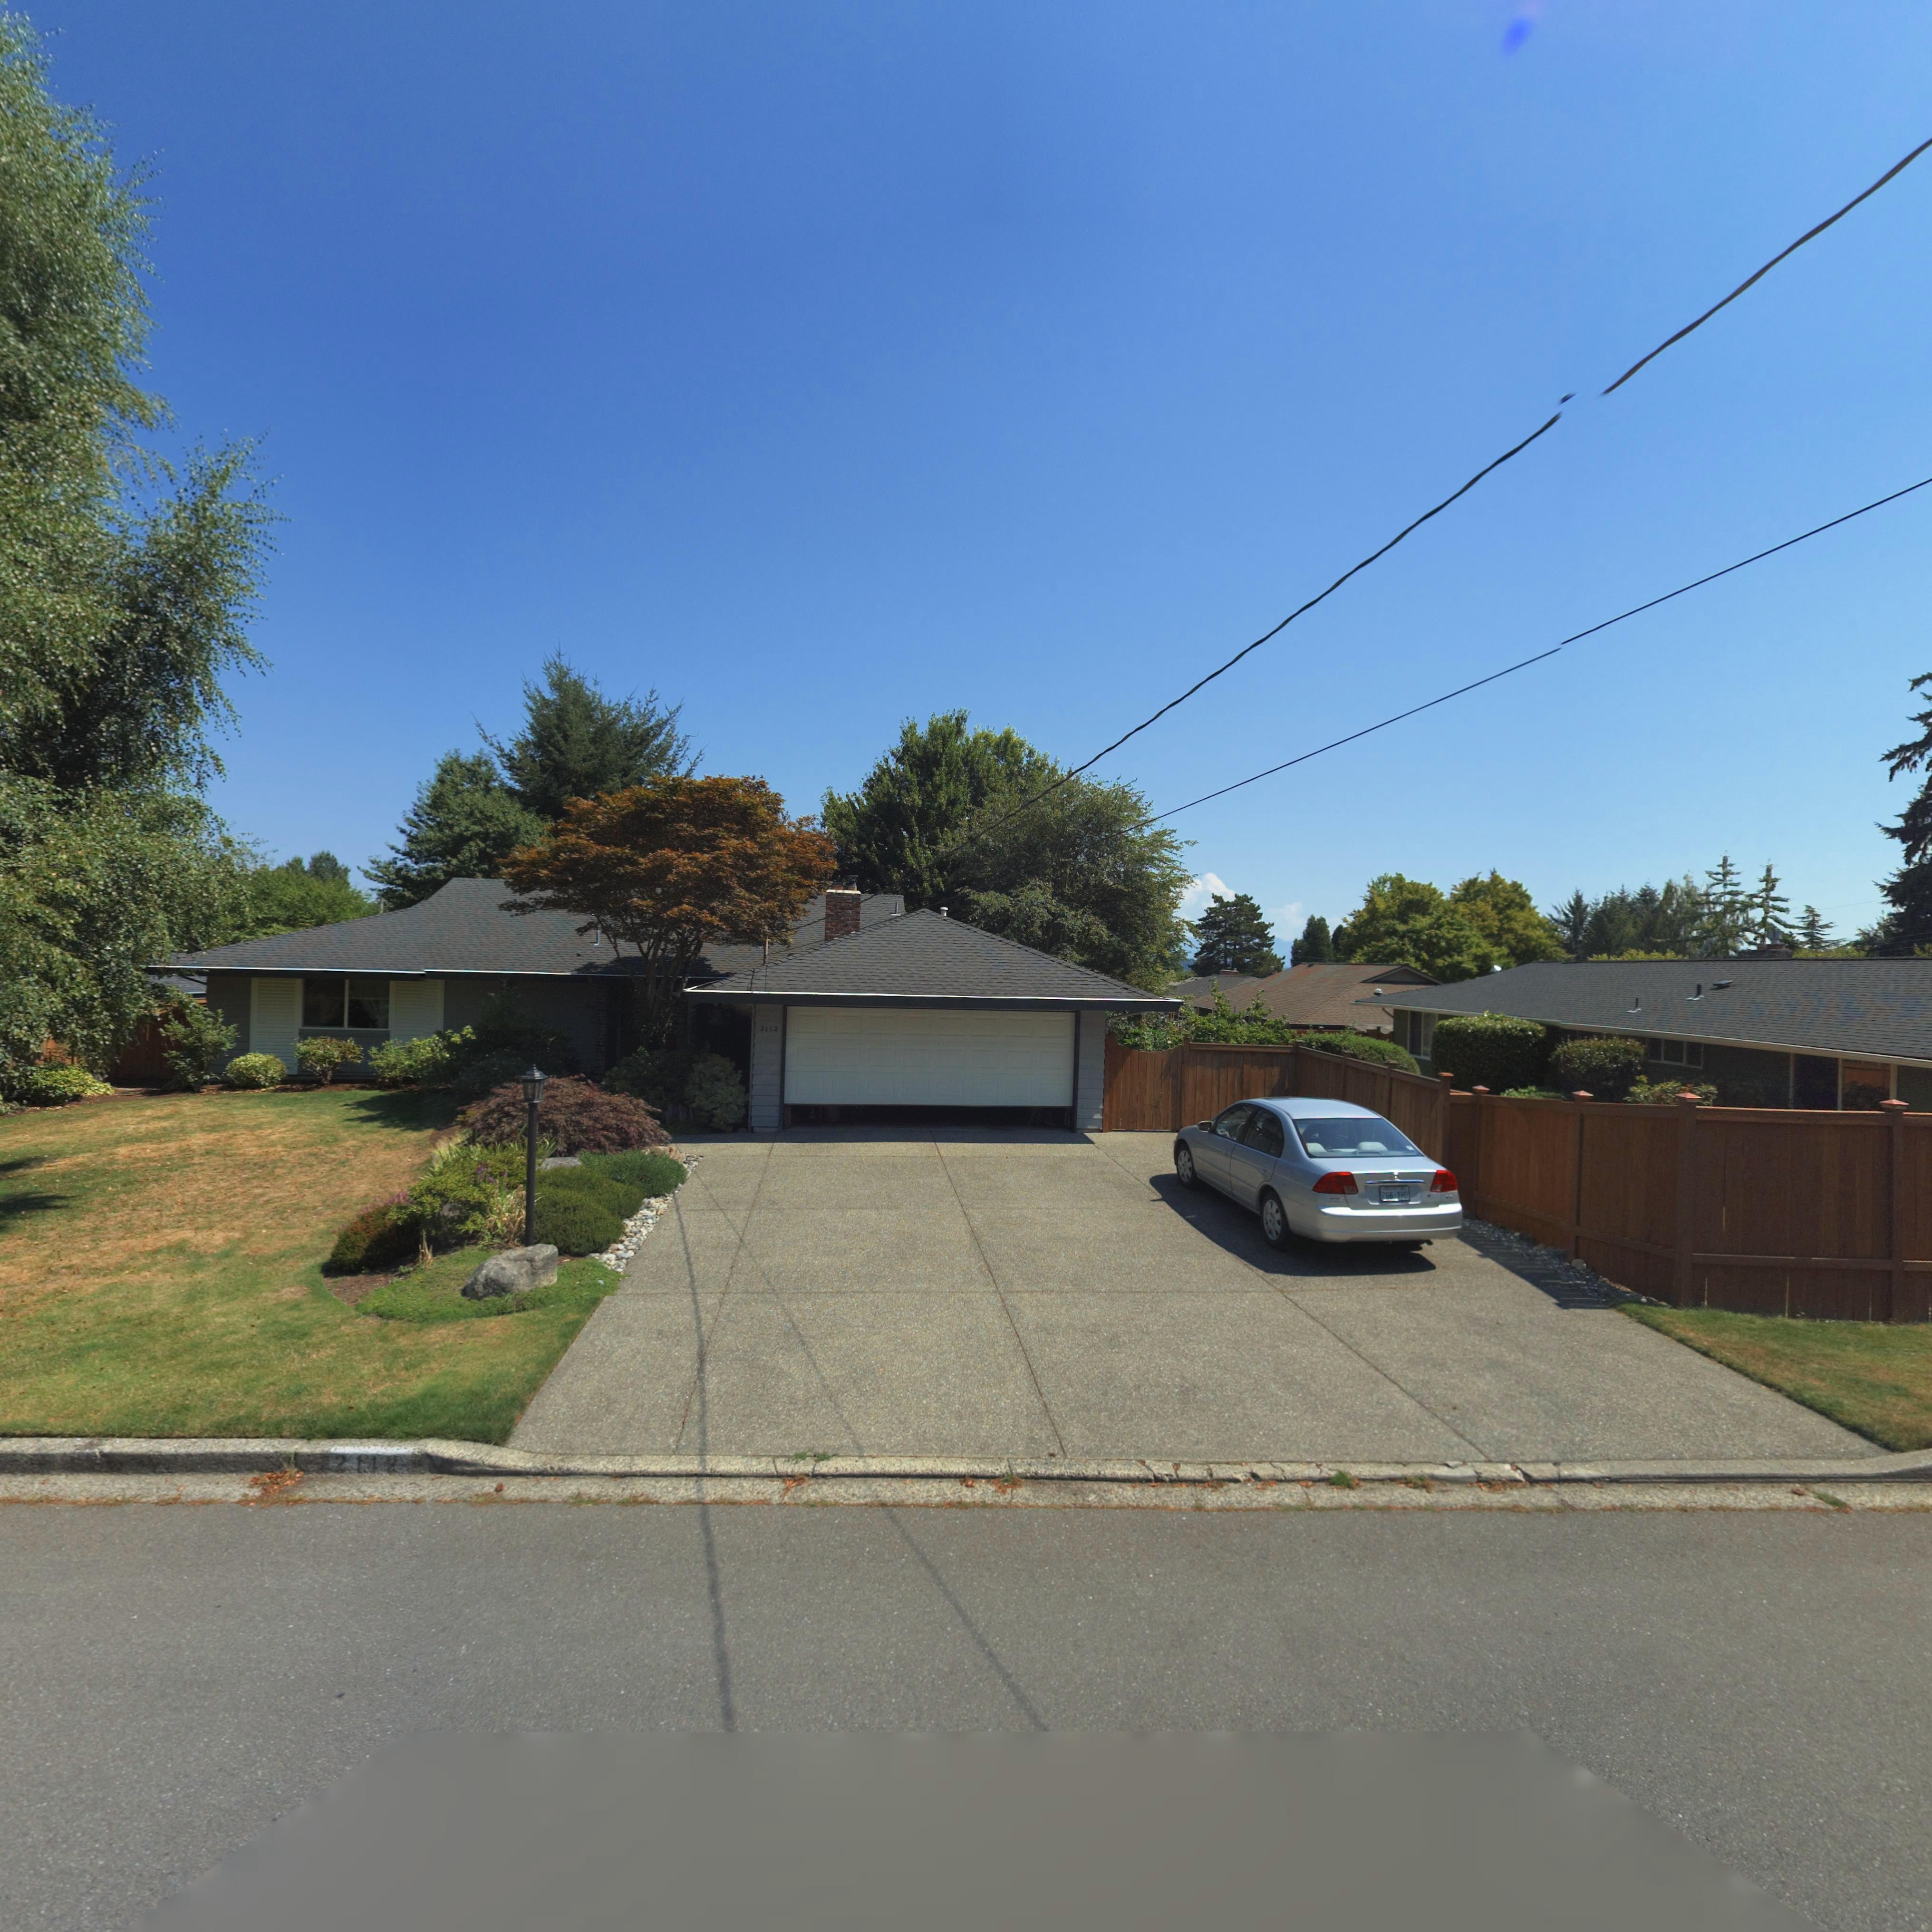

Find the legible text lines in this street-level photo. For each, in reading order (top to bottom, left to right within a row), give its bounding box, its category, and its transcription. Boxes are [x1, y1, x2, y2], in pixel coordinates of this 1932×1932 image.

[760, 1026, 779, 1032] StreetNumber: 2112